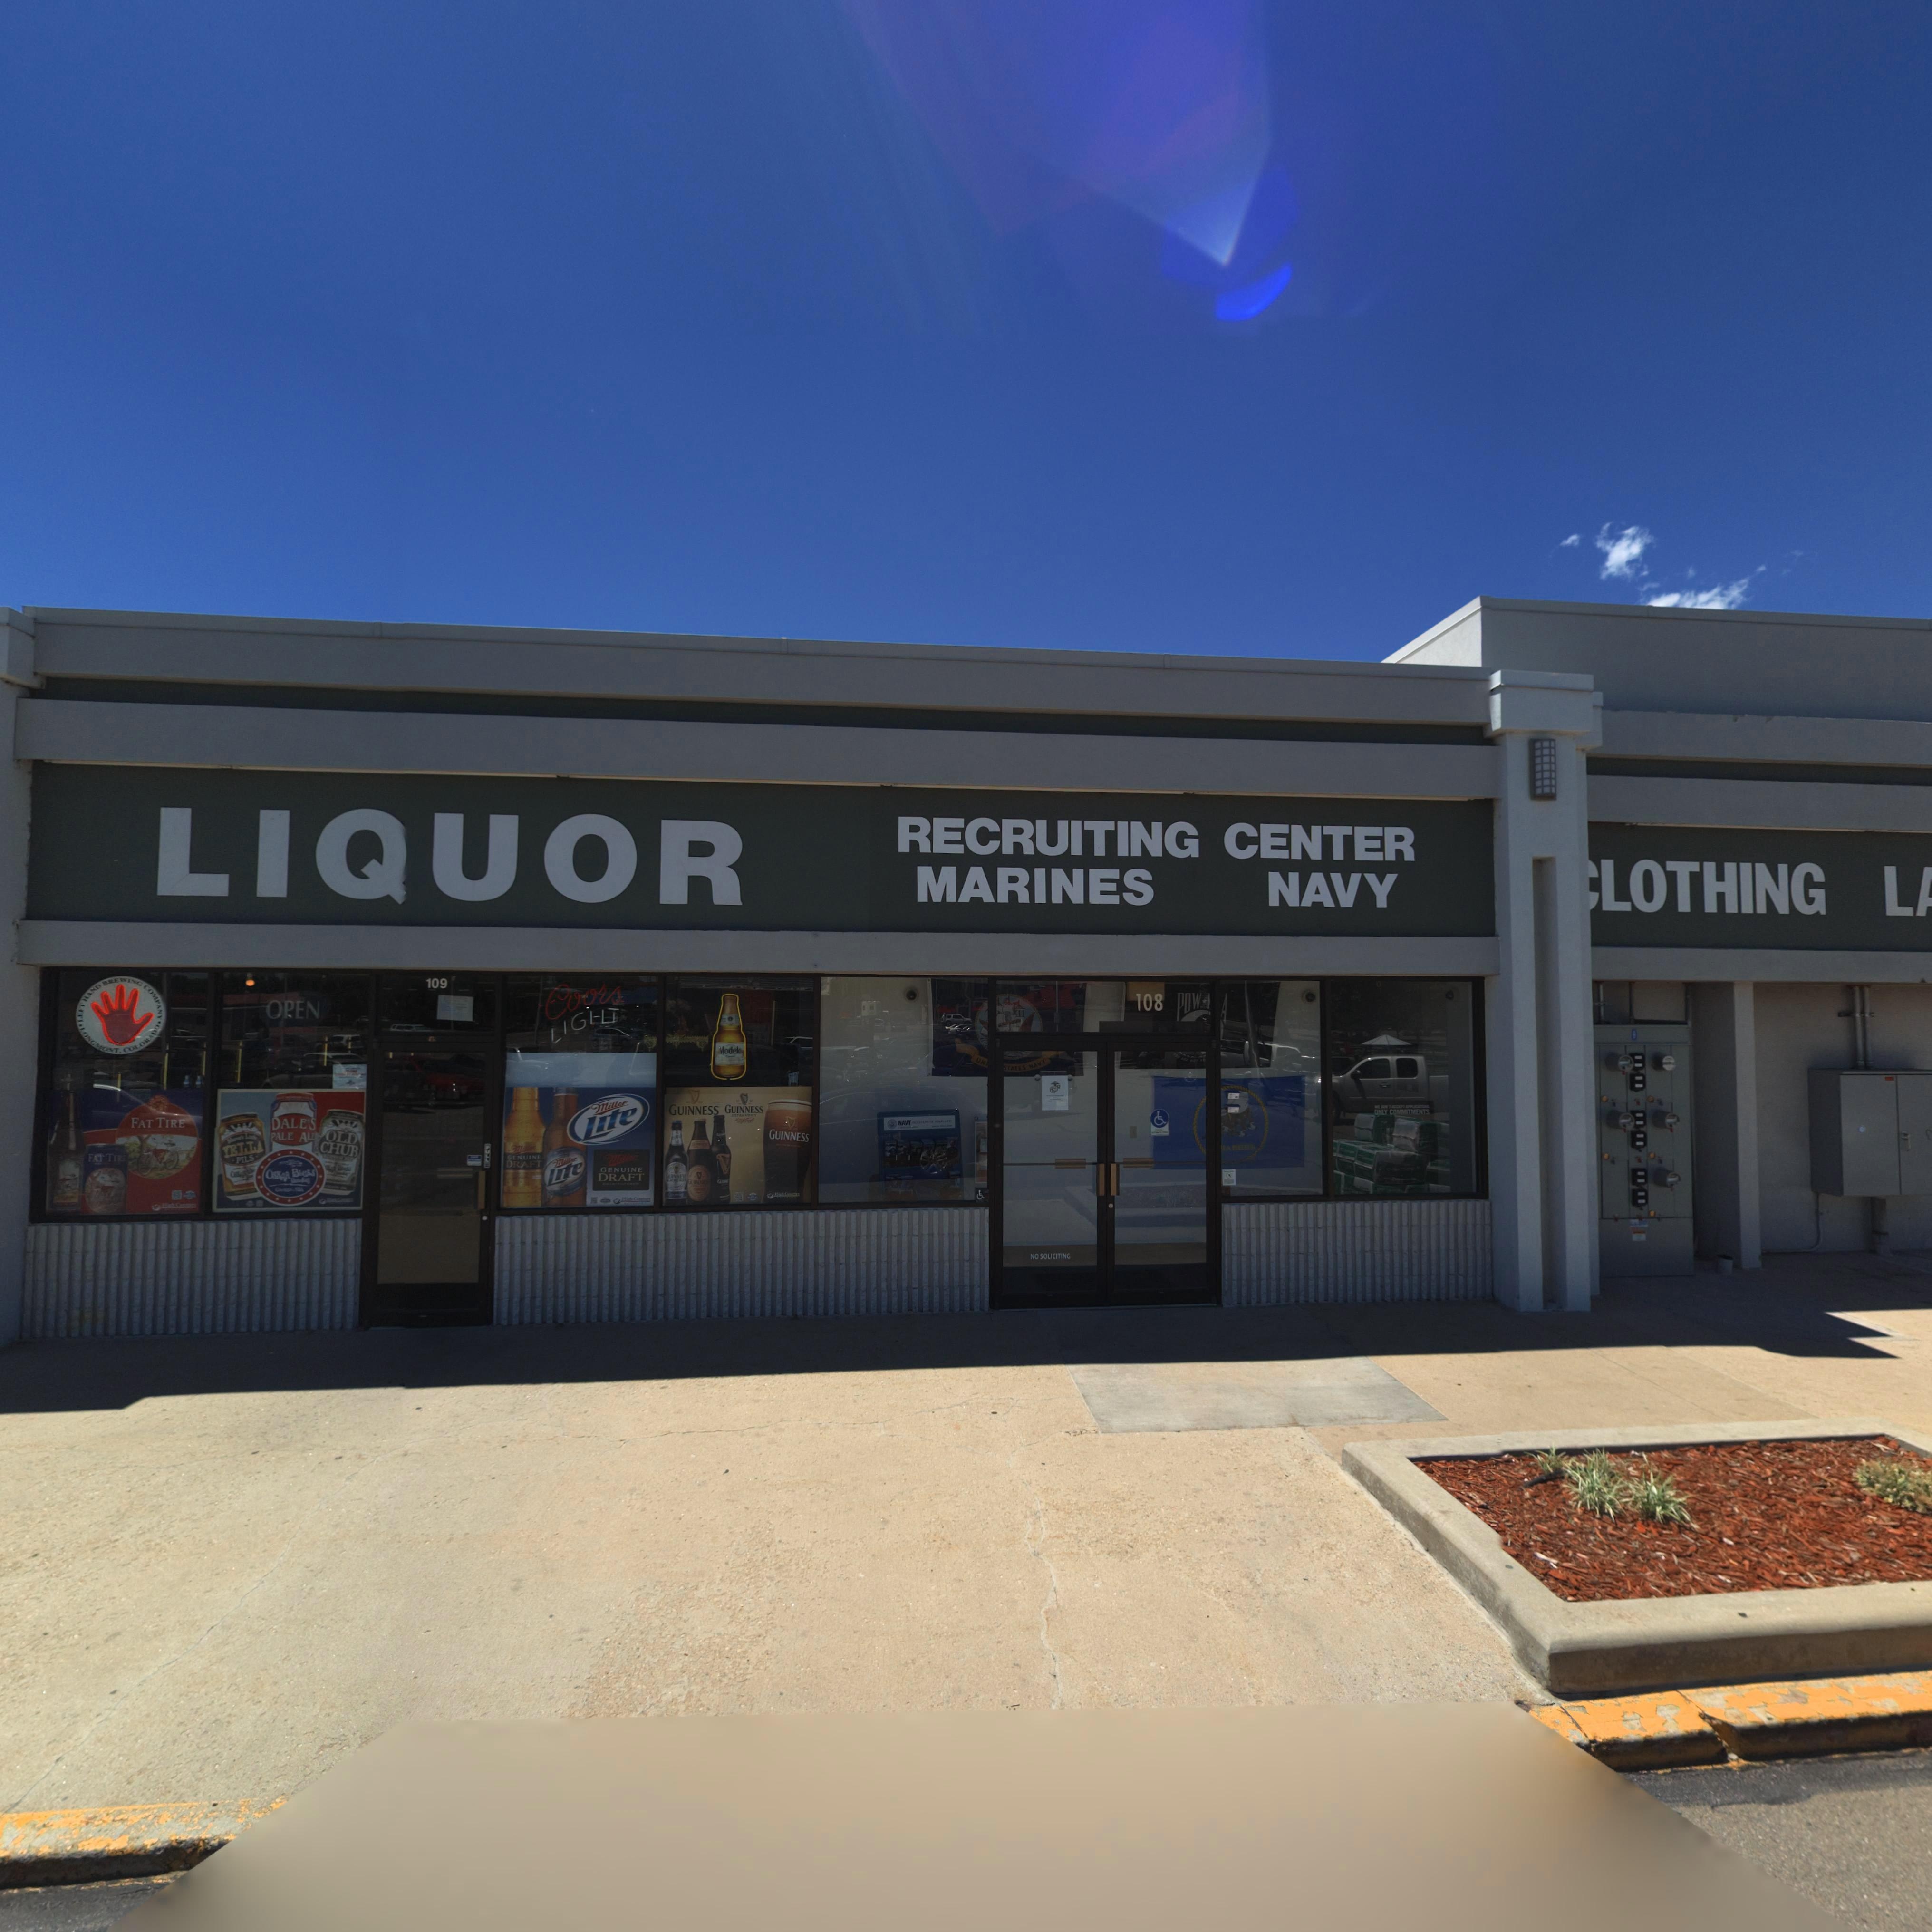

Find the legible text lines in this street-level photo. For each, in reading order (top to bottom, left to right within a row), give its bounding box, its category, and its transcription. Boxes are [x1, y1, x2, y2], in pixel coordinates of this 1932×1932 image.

[898, 815, 1415, 861] BusinessName: RECRUITING CENTER
[916, 865, 1399, 908] BusinessName: MARINES NAVY
[425, 978, 448, 989] StreetNumber: 109
[1135, 993, 1163, 1011] StreetNumber: 108